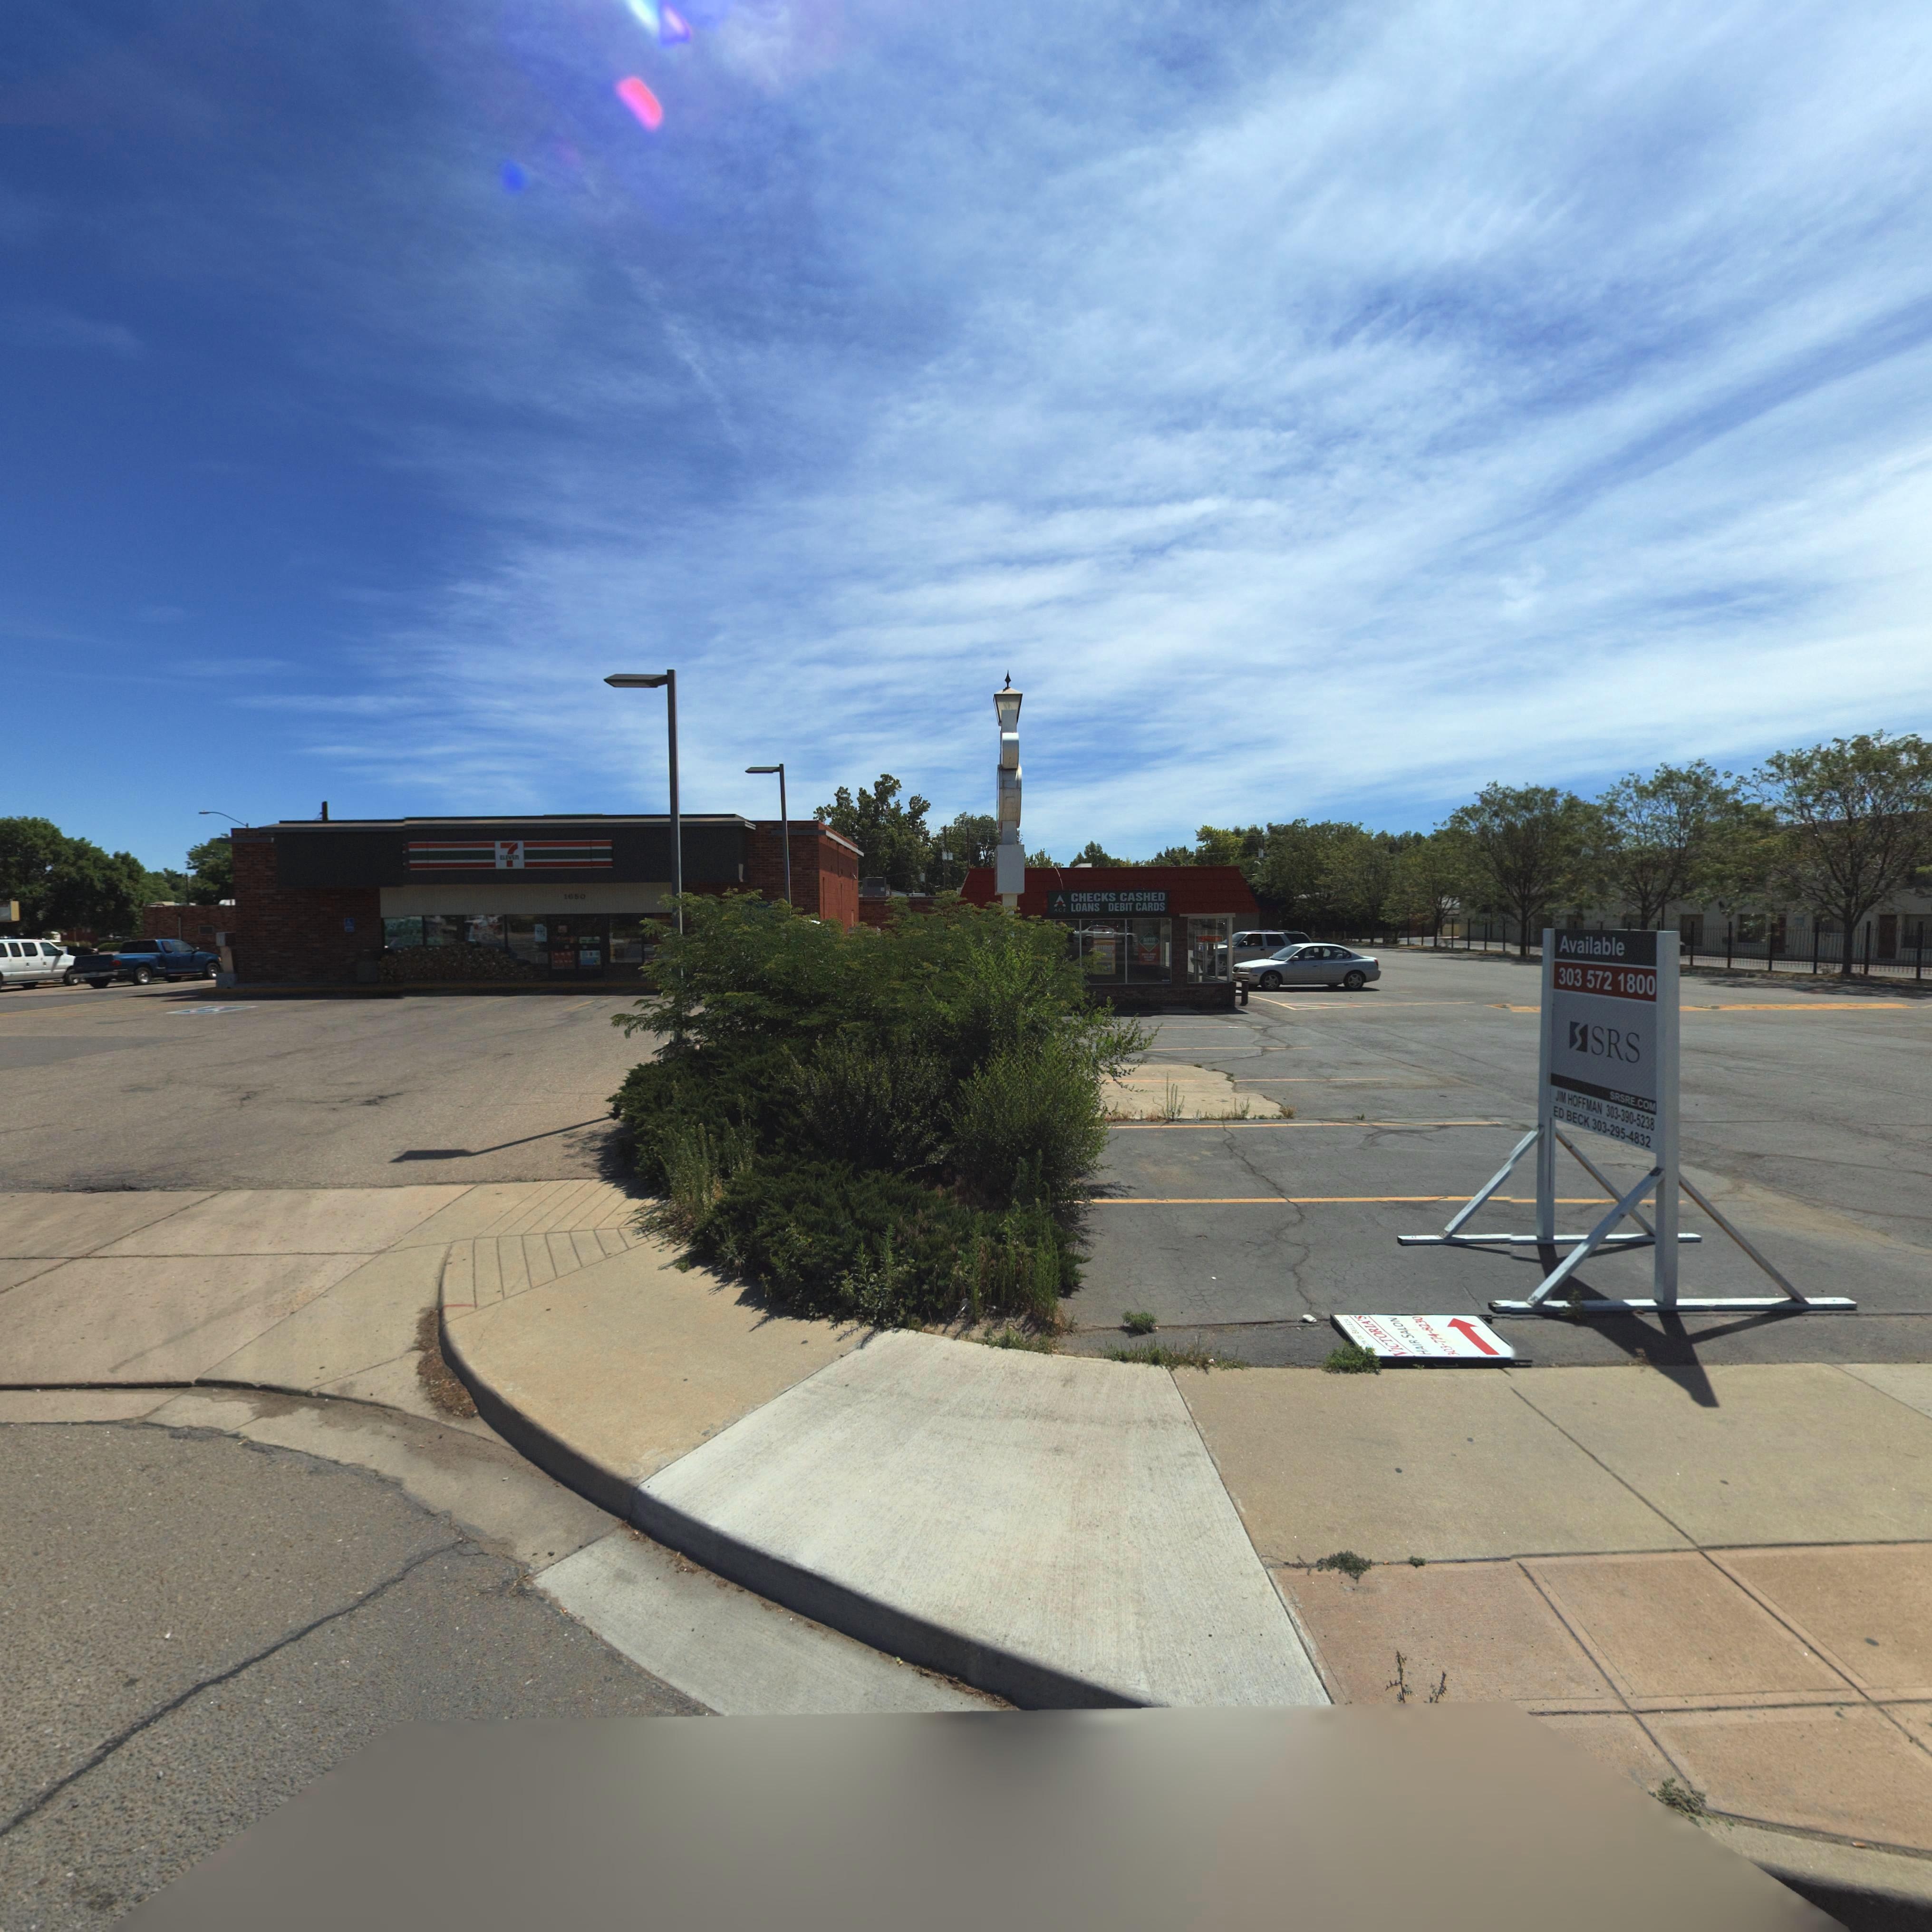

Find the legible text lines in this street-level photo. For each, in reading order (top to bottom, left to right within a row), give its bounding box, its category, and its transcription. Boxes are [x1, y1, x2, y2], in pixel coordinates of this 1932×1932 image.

[499, 841, 519, 868] BusinessName: 7
[499, 854, 519, 860] BusinessName: ELEVEn
[563, 892, 586, 899] StreetNumber: 1650
[1070, 892, 1165, 902] BusinessName: CHECKS CASHED
[1053, 908, 1067, 912] BusinessName: ACE